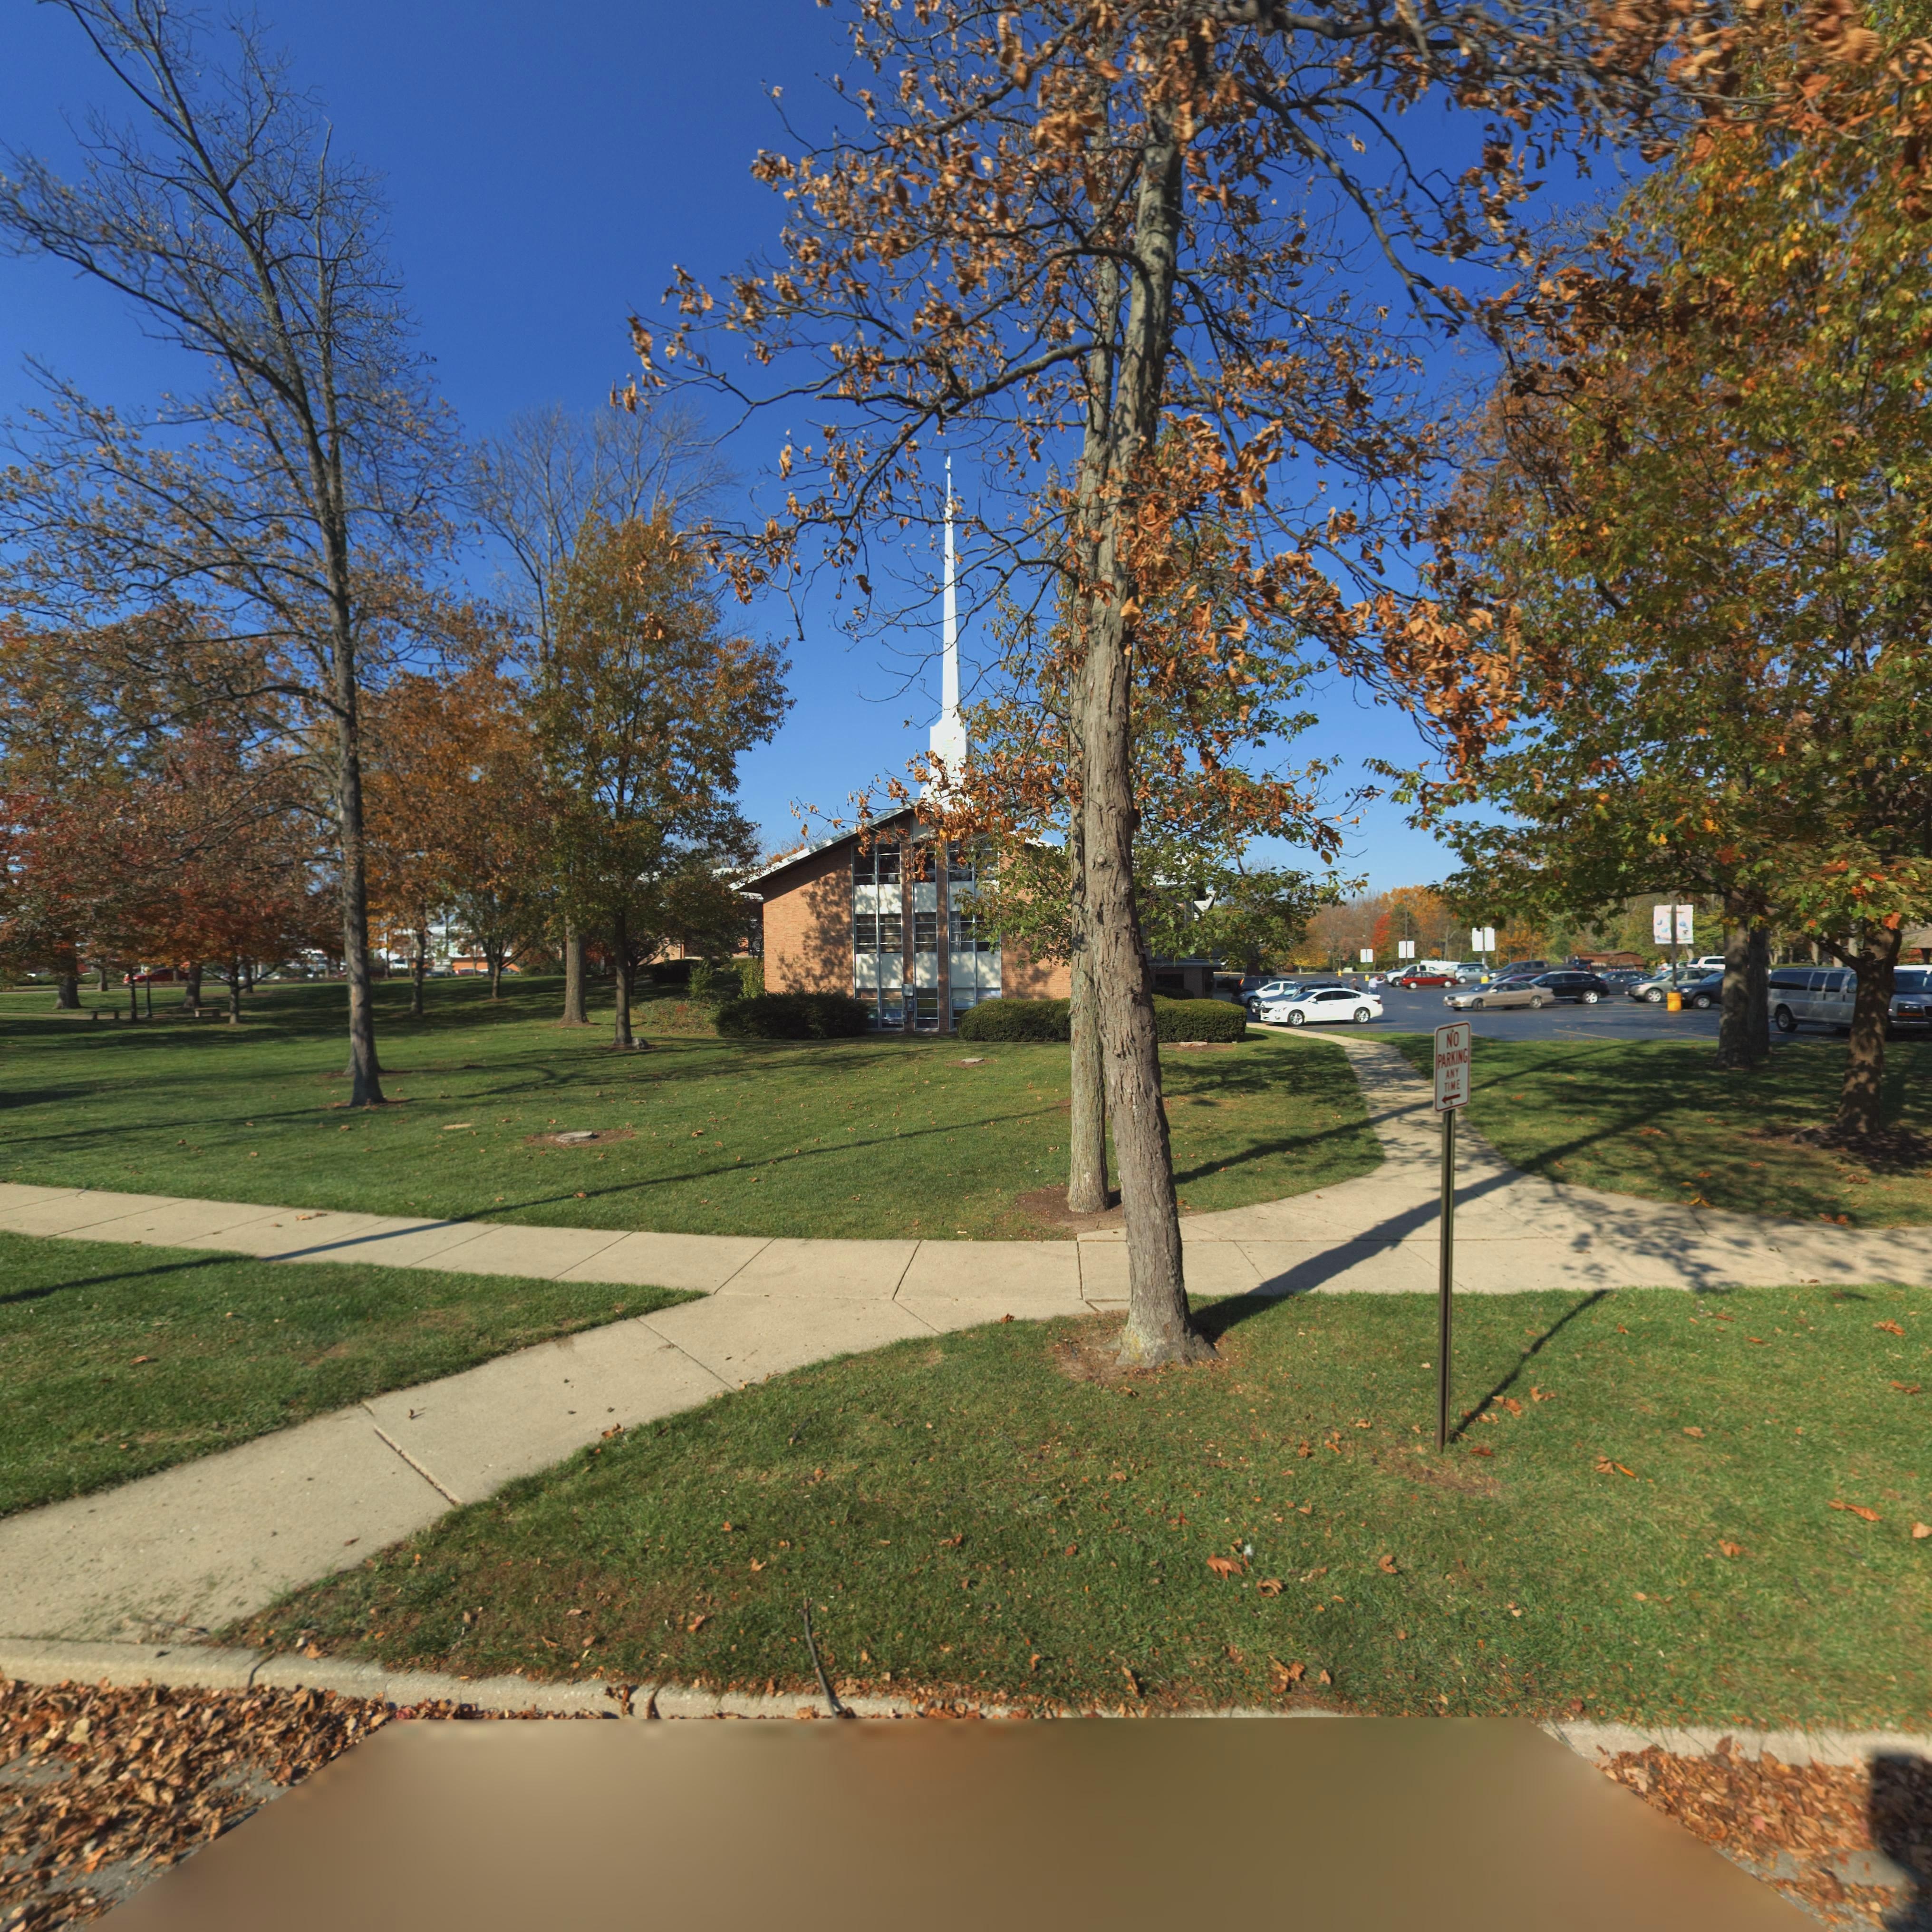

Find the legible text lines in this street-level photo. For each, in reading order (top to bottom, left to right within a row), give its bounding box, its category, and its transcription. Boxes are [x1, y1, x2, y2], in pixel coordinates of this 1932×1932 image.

[1446, 1031, 1460, 1049] None: NO
[1437, 1047, 1469, 1070] None: PARKING
[1445, 1067, 1459, 1080] None: ANY
[1444, 1078, 1461, 1093] None: TIME